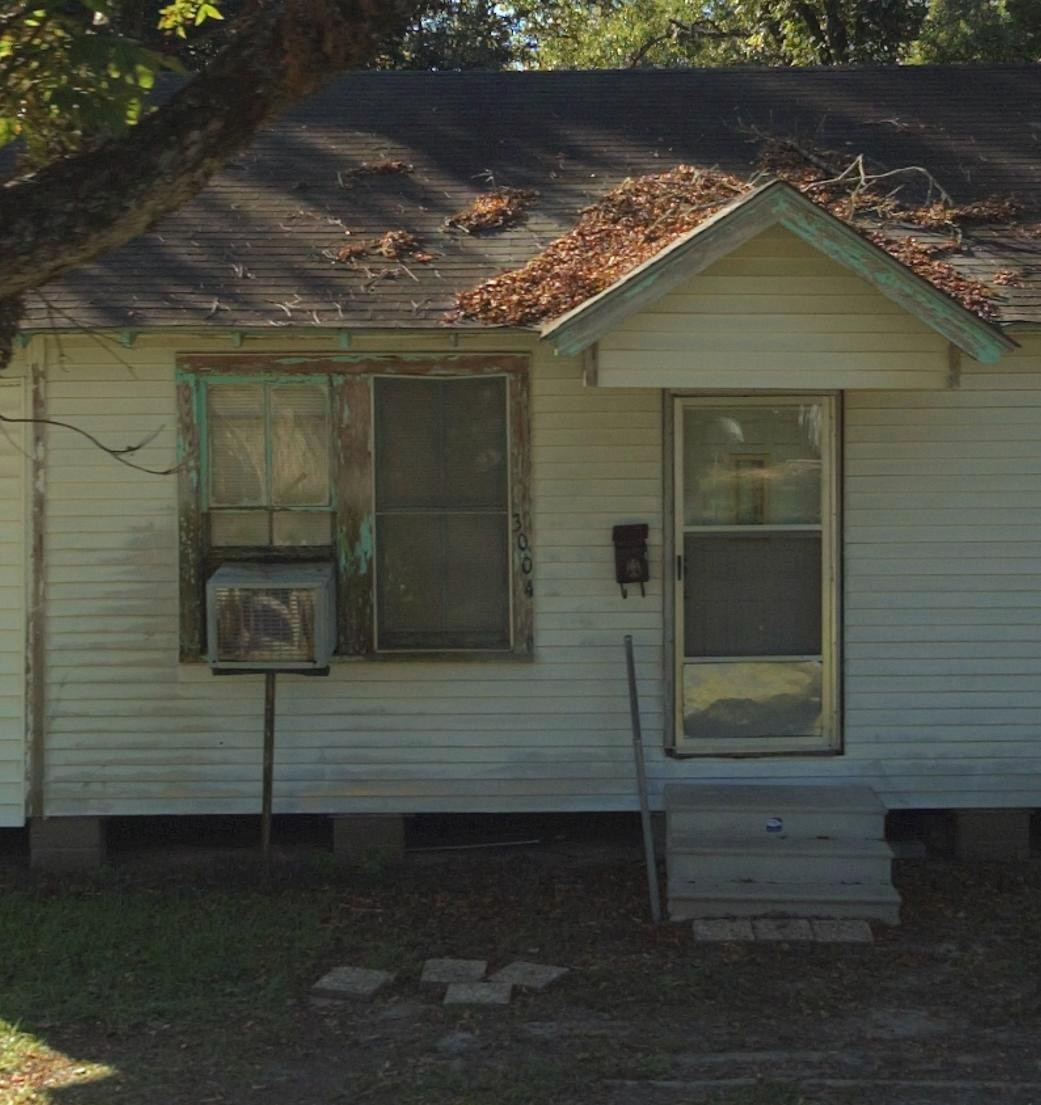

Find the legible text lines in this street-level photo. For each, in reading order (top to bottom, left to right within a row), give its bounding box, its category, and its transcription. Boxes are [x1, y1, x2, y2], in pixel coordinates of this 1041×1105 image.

[509, 509, 536, 601] StreetNumber: 3004